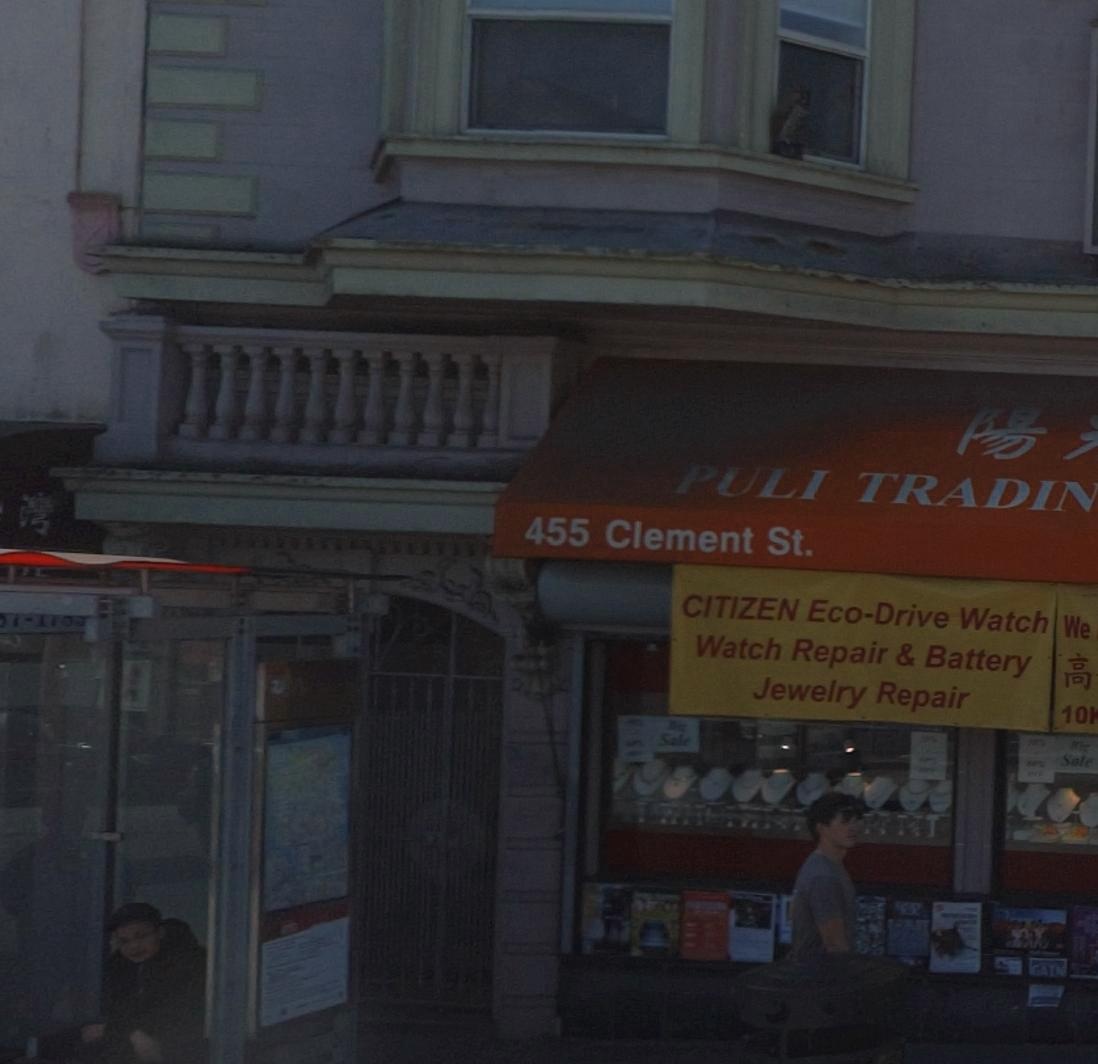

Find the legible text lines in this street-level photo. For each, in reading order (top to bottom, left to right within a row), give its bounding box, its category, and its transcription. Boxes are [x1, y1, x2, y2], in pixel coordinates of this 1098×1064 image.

[670, 458, 1098, 514] BusinessName: PULI TRADIN
[520, 513, 591, 550] StreetNumber: 455
[602, 516, 815, 560] StreetName: Clement St.
[681, 591, 1052, 636] None: CITIZEN Eco-Drive Watch
[1061, 613, 1093, 642] None: We
[695, 629, 1037, 680] None: Watch Repair & Battery
[749, 673, 976, 715] None: Jewelry Repair
[1059, 699, 1090, 729] None: 10